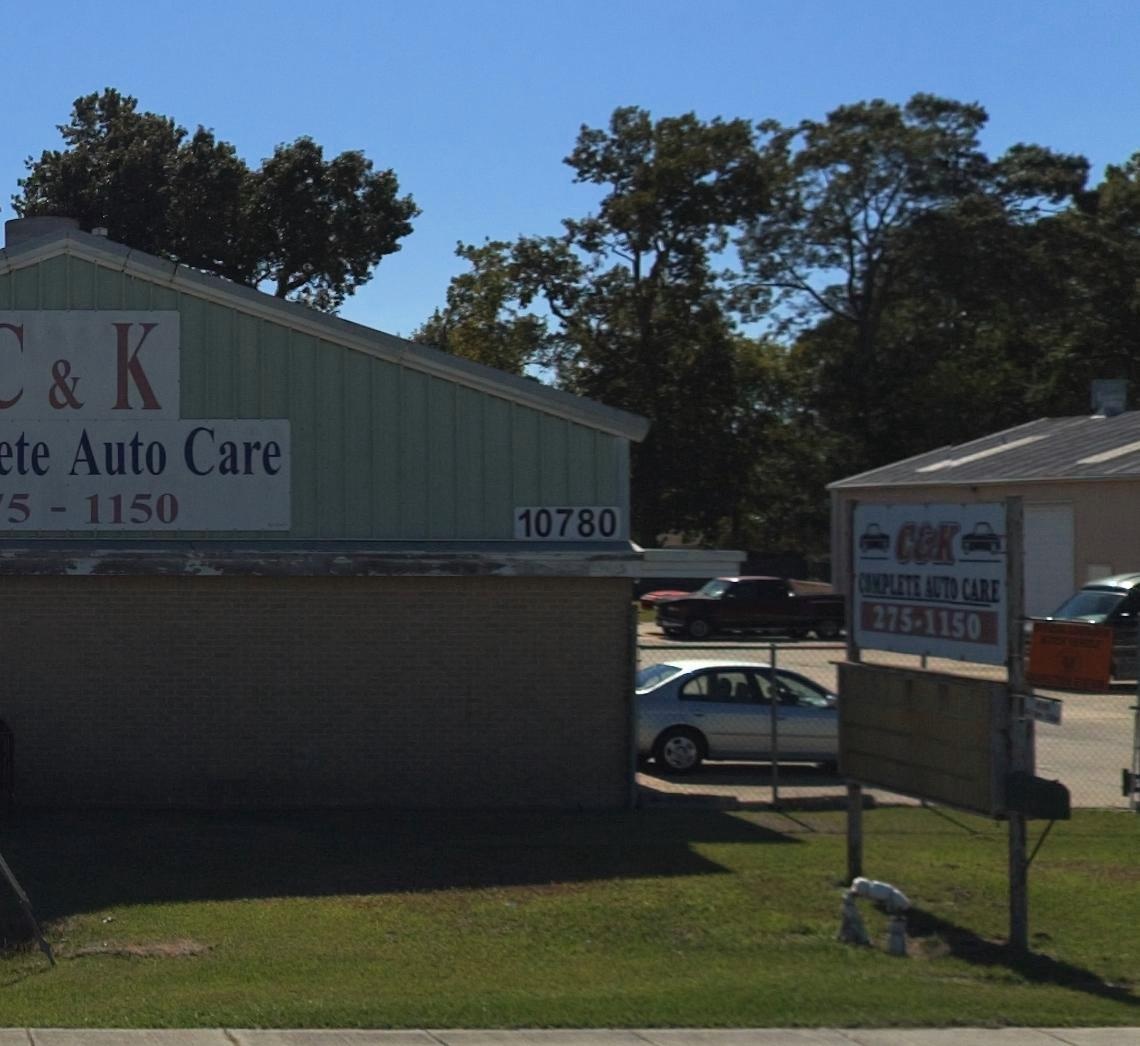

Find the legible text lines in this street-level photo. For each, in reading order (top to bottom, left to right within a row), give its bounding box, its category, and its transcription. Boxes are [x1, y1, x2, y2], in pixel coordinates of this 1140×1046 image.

[45, 353, 87, 412] BusinessName: &
[104, 314, 170, 409] BusinessName: K
[11, 425, 286, 477] None: te Auto Care
[6, 491, 180, 525] None: 5-1150
[517, 508, 618, 539] StreetNumber: 10780
[895, 521, 961, 564] BusinessName: C&K
[857, 571, 1001, 604] None: COMPLETE AUTO CARE
[870, 604, 982, 642] None: 275-1150